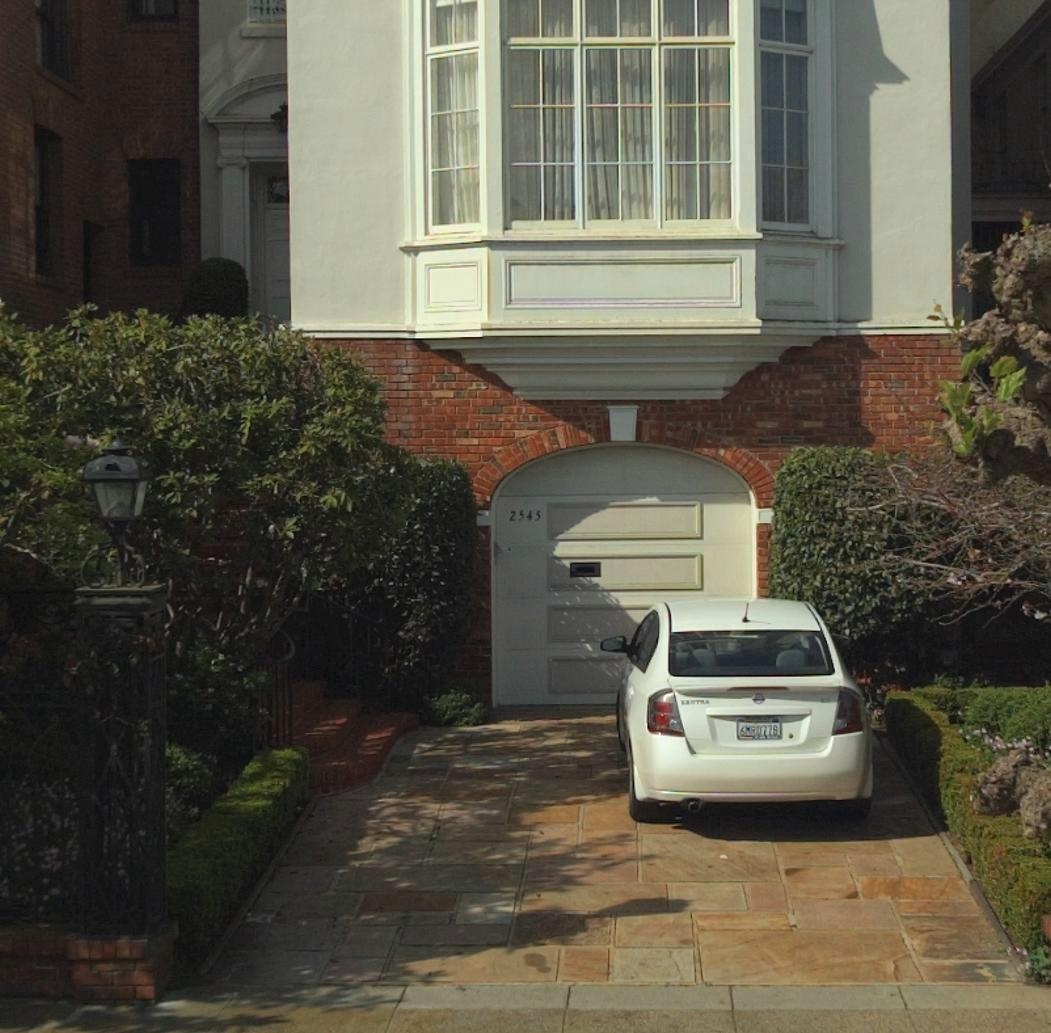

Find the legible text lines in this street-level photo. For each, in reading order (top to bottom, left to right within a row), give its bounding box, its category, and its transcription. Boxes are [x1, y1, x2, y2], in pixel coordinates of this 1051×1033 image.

[508, 508, 542, 523] StreetNumber: 2545
[736, 721, 780, 741] None: 6M*0778